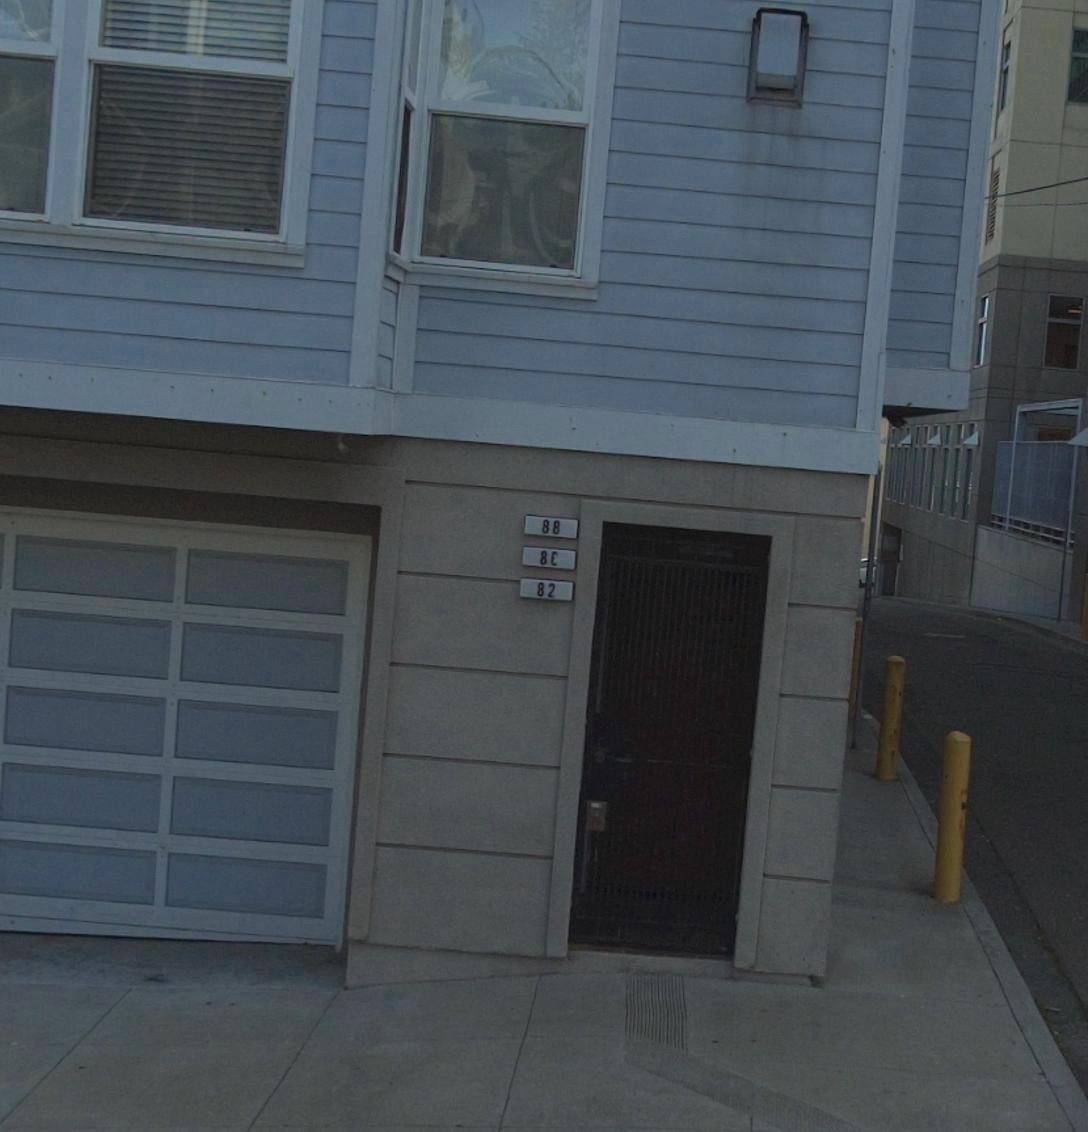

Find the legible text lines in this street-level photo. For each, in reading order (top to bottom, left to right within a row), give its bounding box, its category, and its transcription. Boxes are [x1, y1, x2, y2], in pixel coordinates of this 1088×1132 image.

[539, 517, 563, 537] StreetNumber: 88
[537, 547, 560, 569] StreetNumber: 8*
[533, 580, 558, 600] StreetNumber: 82